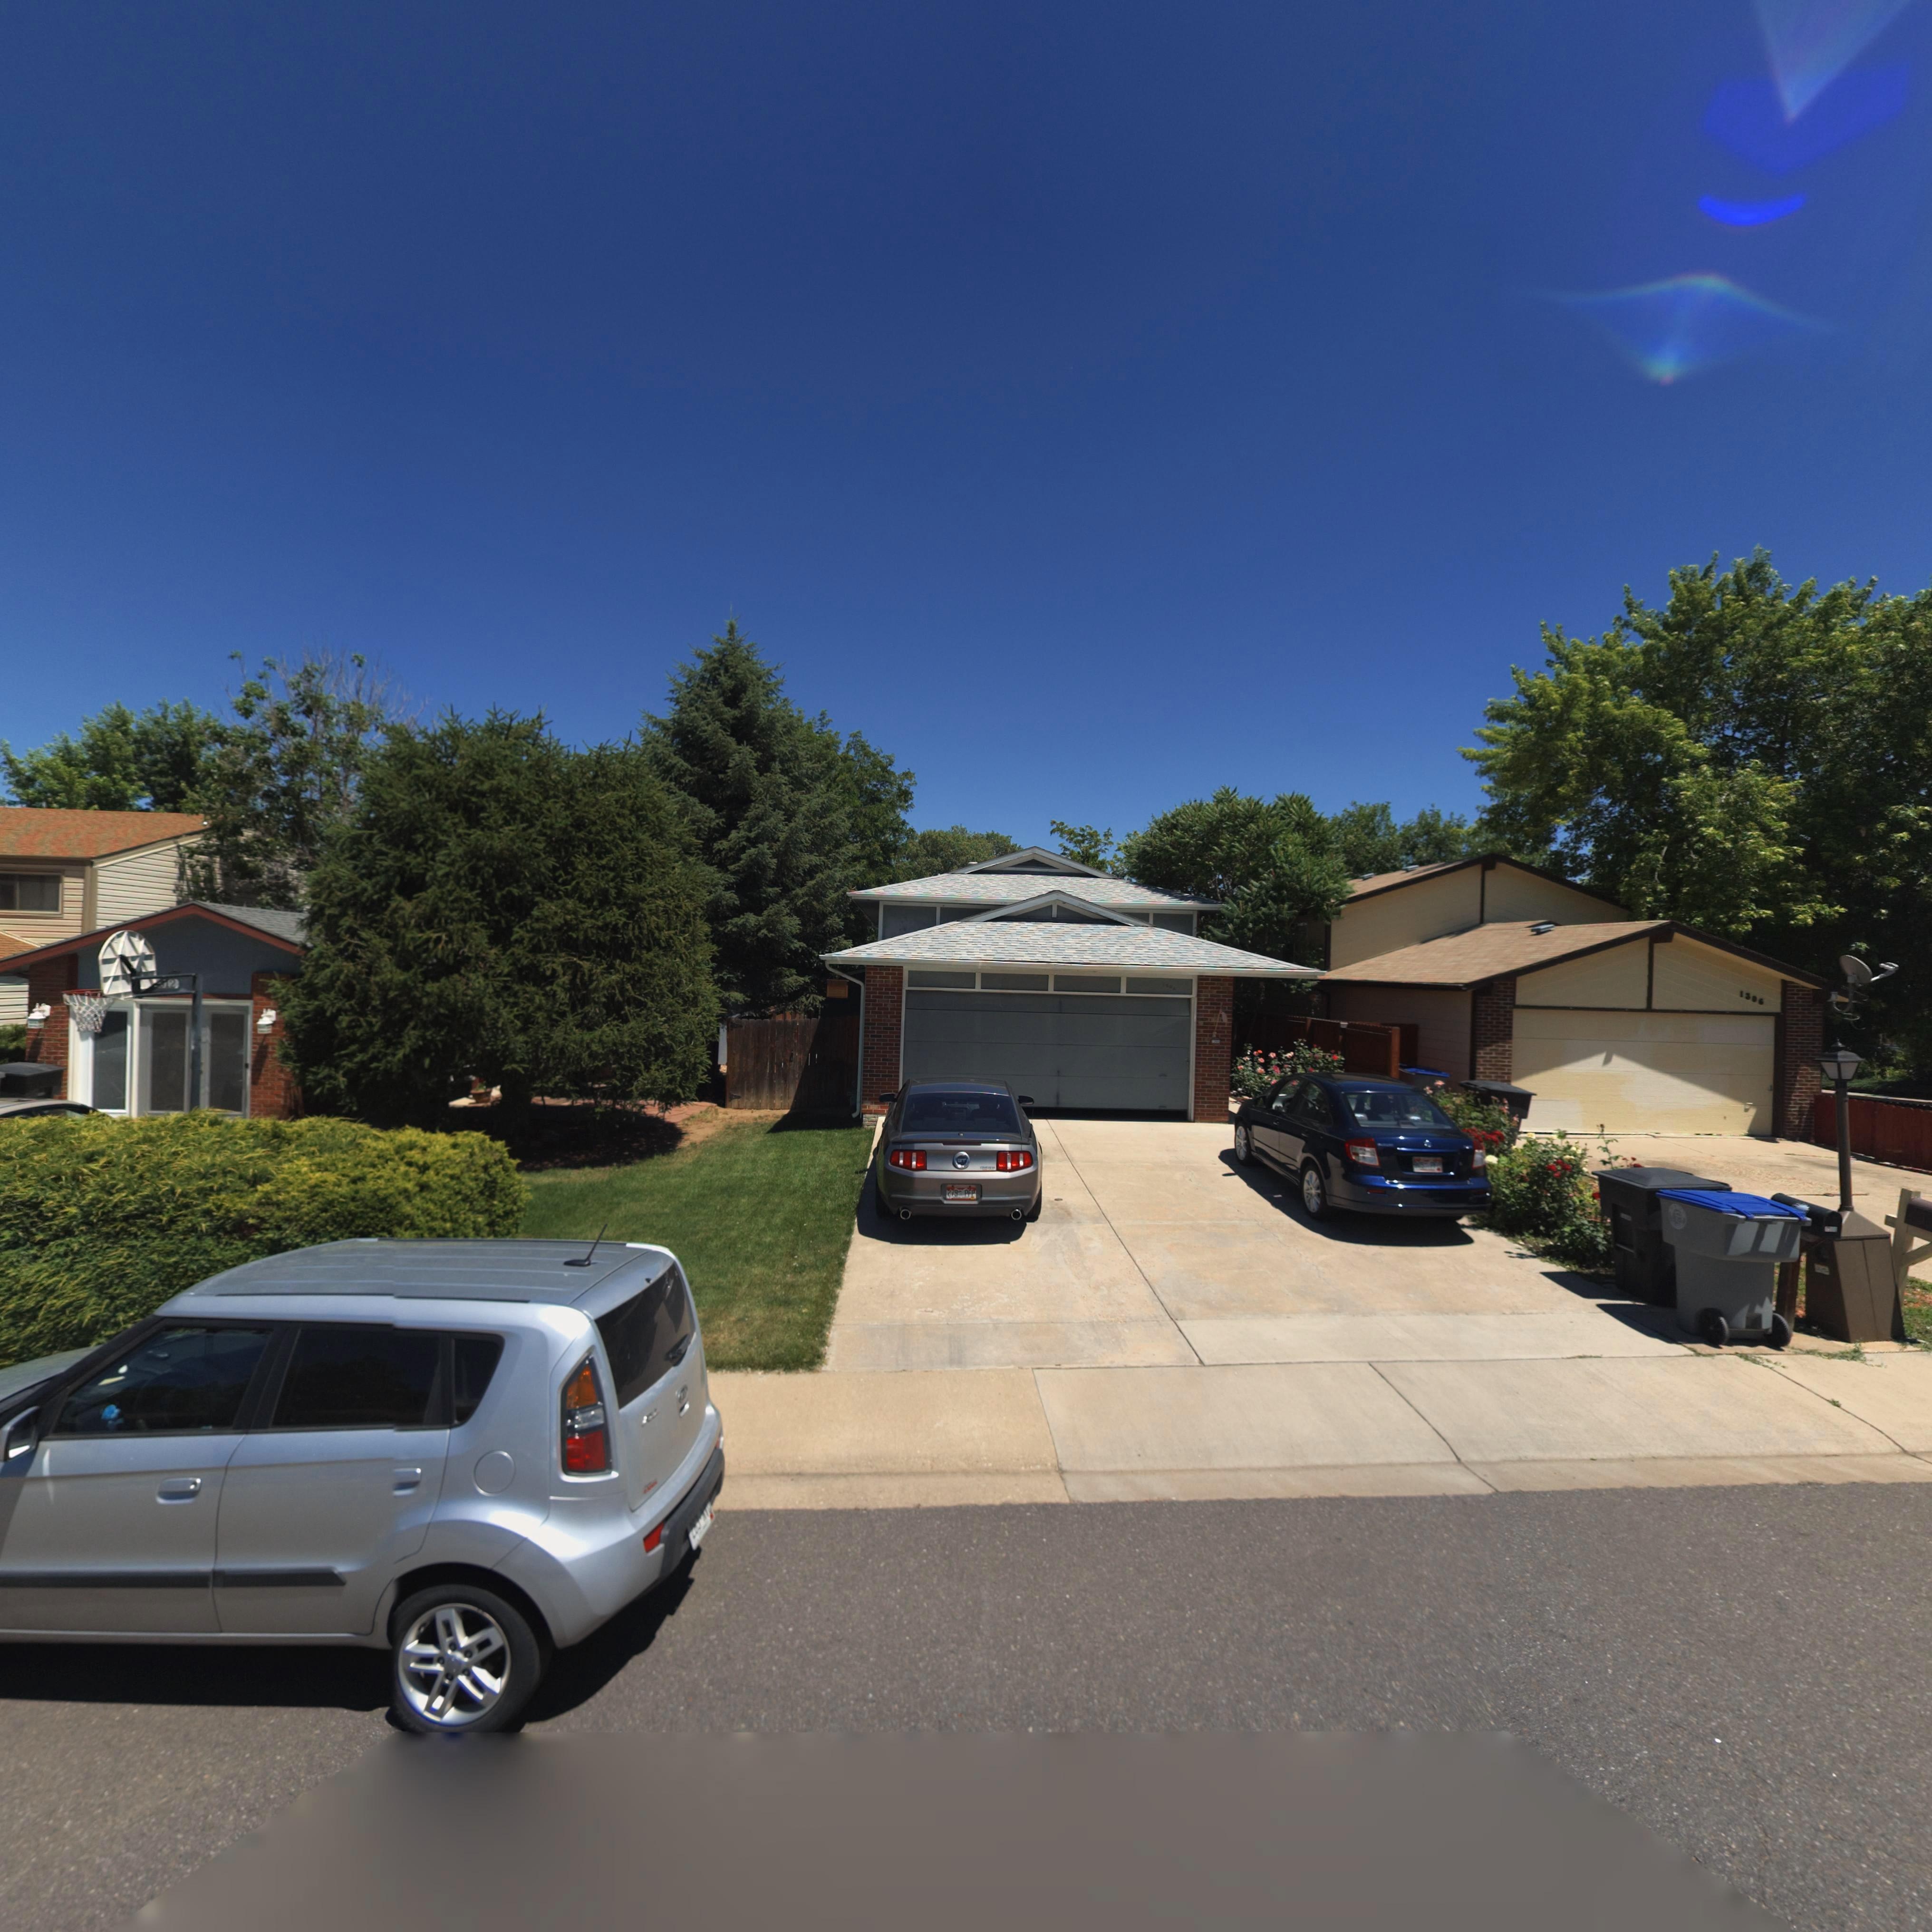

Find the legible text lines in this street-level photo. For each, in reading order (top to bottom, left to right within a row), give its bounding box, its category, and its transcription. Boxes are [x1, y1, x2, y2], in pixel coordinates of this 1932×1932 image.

[156, 978, 176, 988] StreetNumber: *12
[1740, 989, 1764, 1006] StreetNumber: 1306